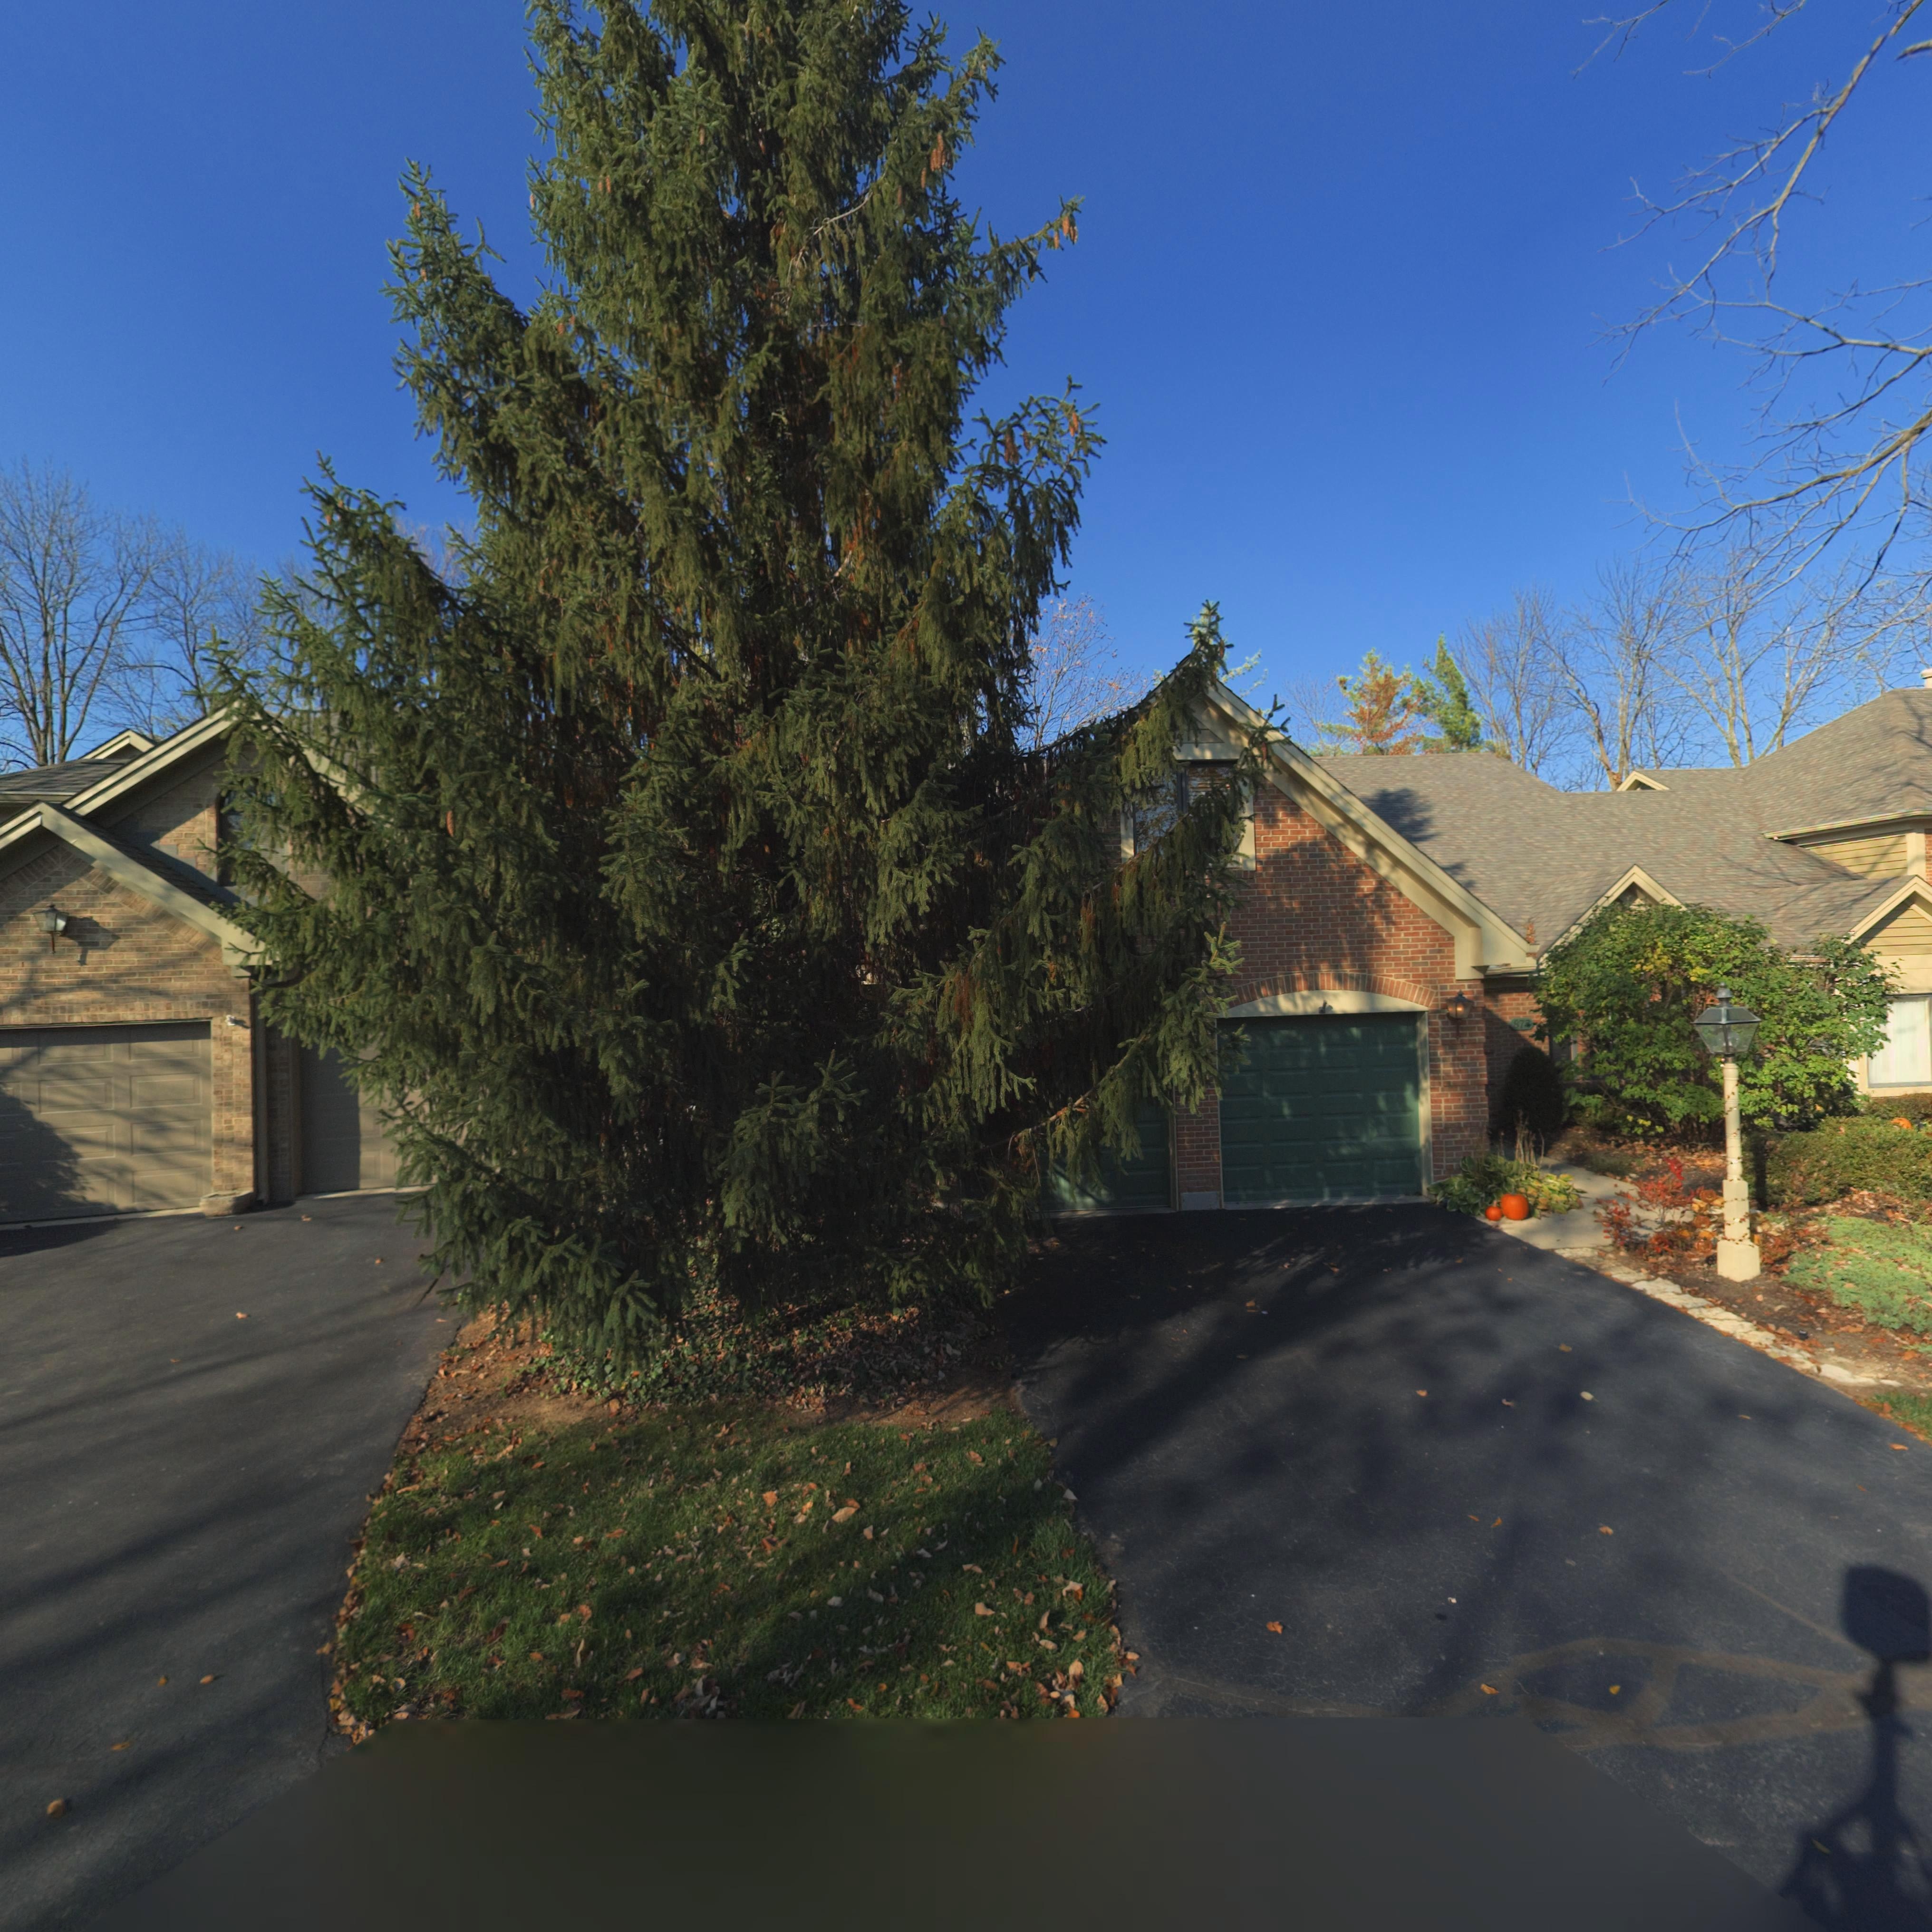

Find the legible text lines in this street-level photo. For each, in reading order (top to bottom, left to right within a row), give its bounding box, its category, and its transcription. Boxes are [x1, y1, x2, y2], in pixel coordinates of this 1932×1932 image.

[1513, 1019, 1531, 1029] StreetNumber: 87*